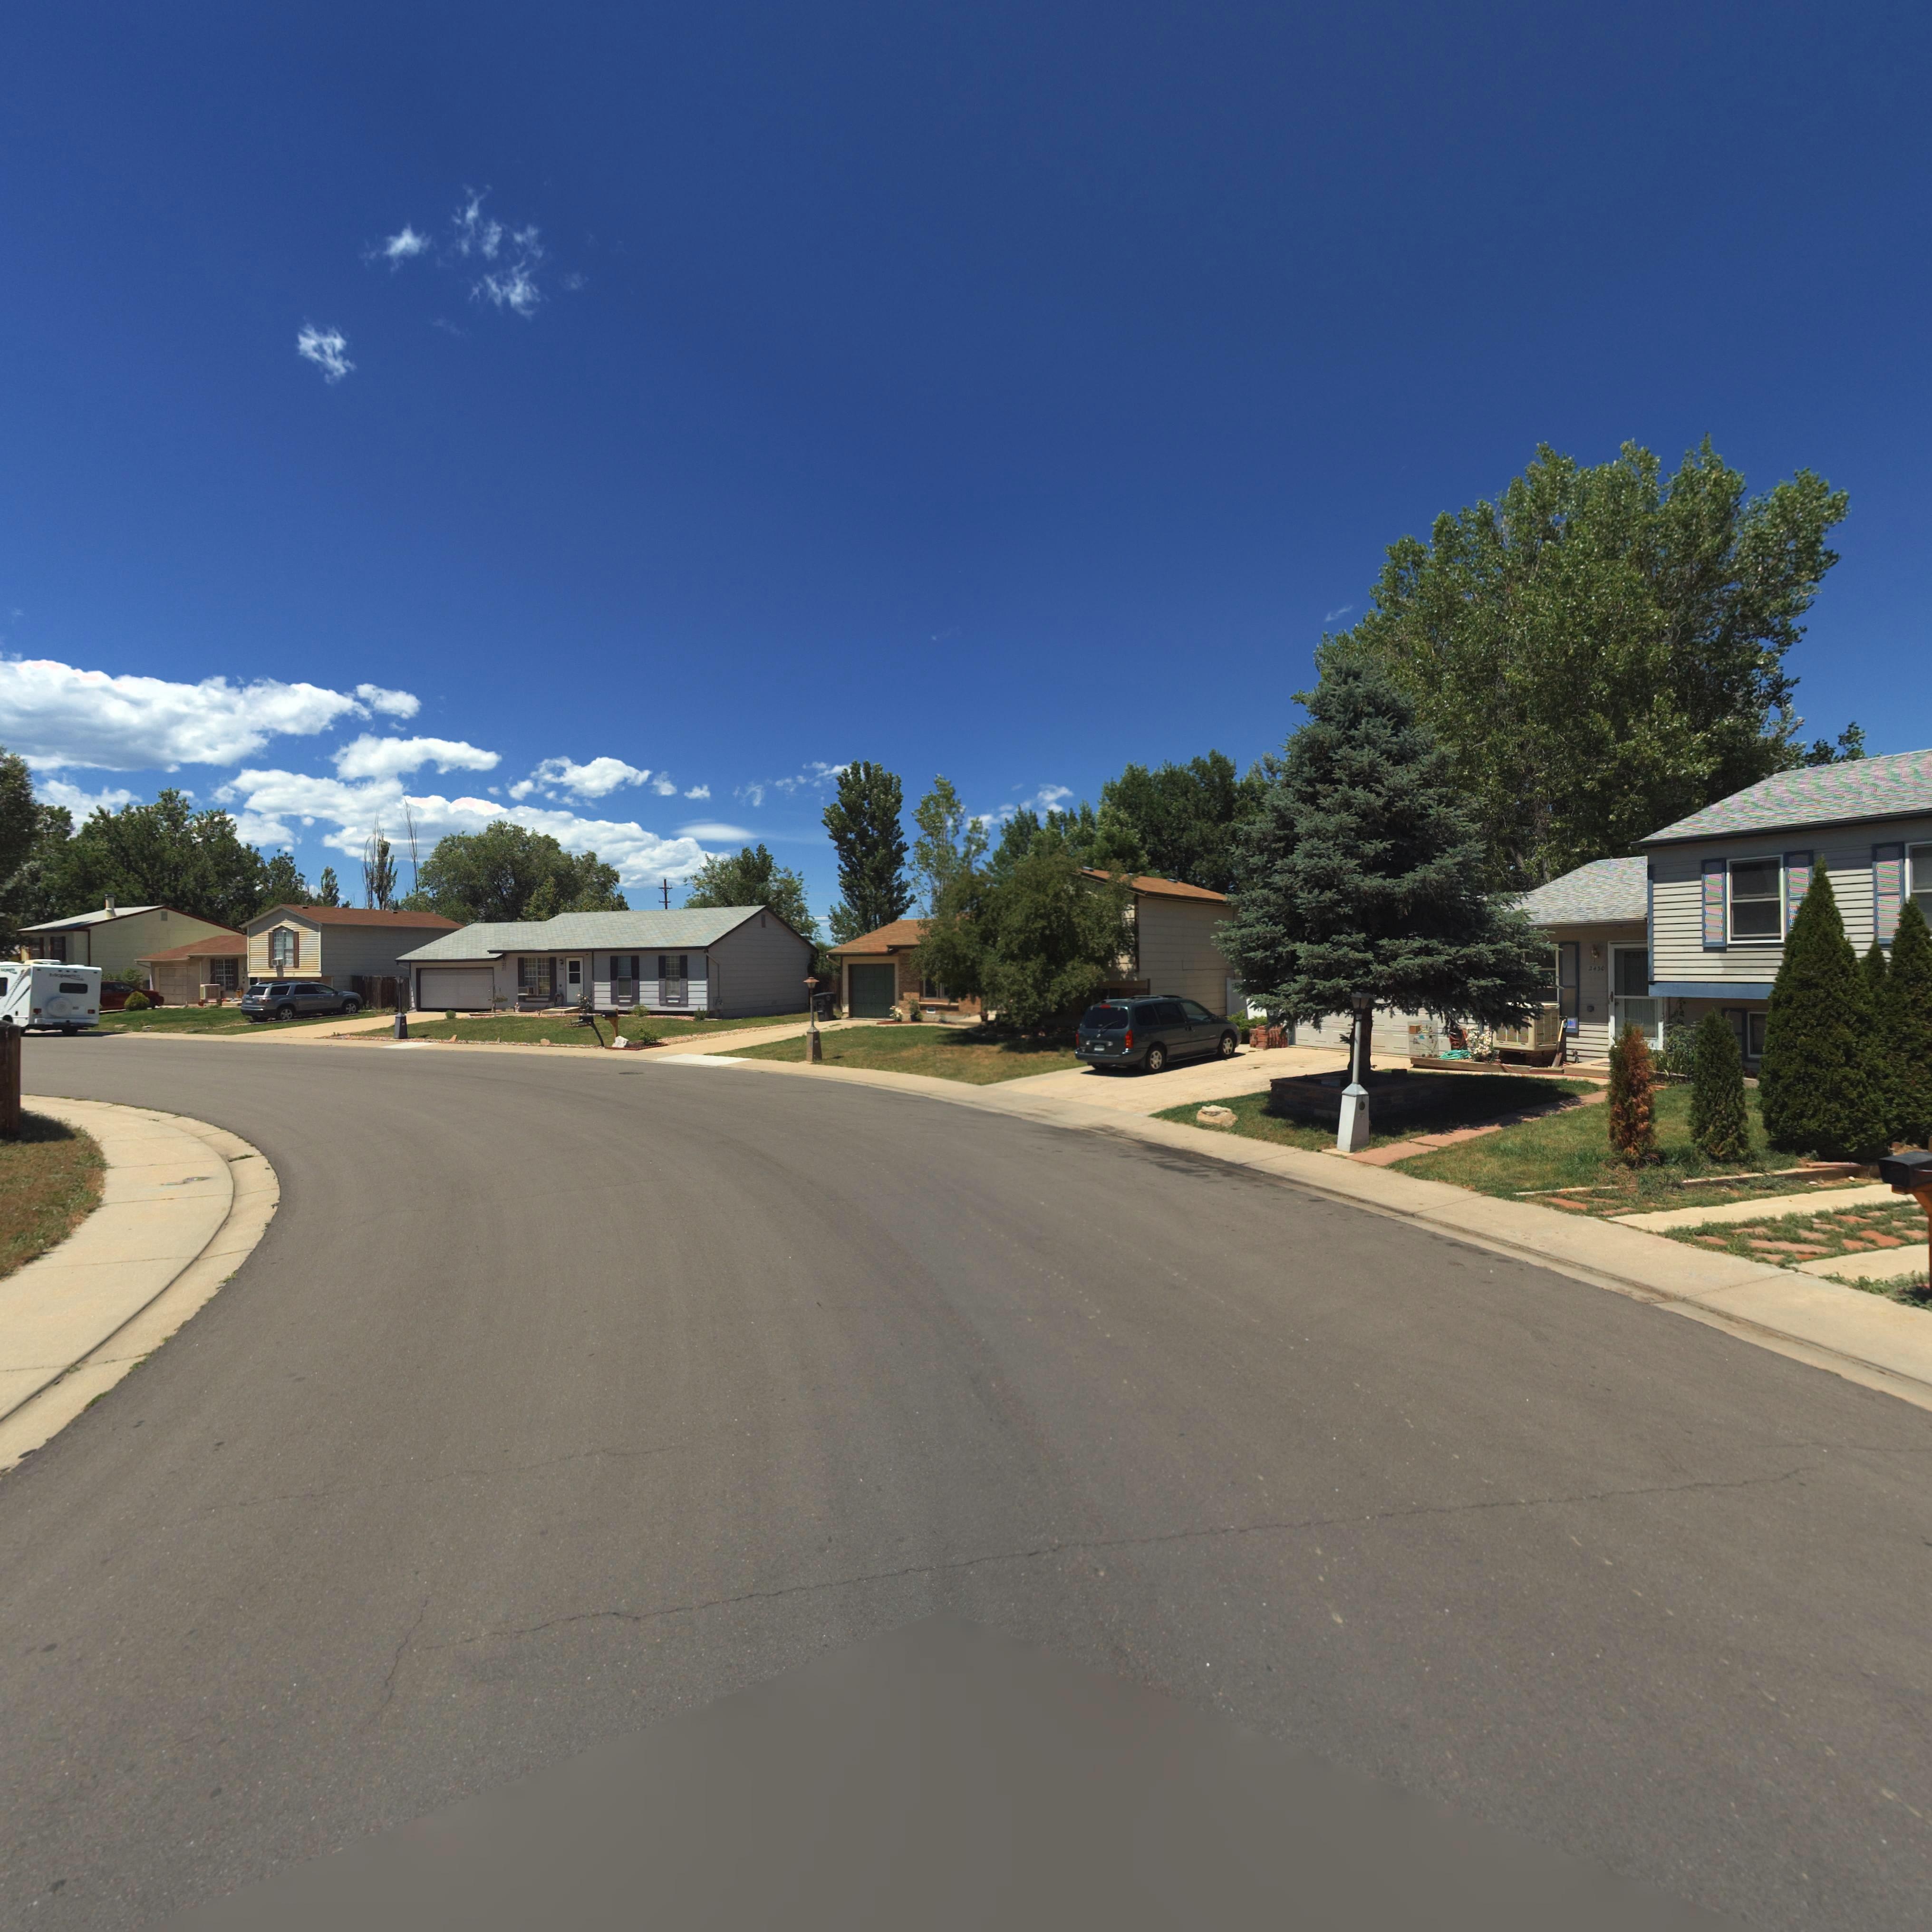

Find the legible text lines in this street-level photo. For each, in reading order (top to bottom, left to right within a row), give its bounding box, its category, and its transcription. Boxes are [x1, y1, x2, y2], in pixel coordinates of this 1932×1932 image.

[1588, 966, 1604, 971] StreetNumber: 2430